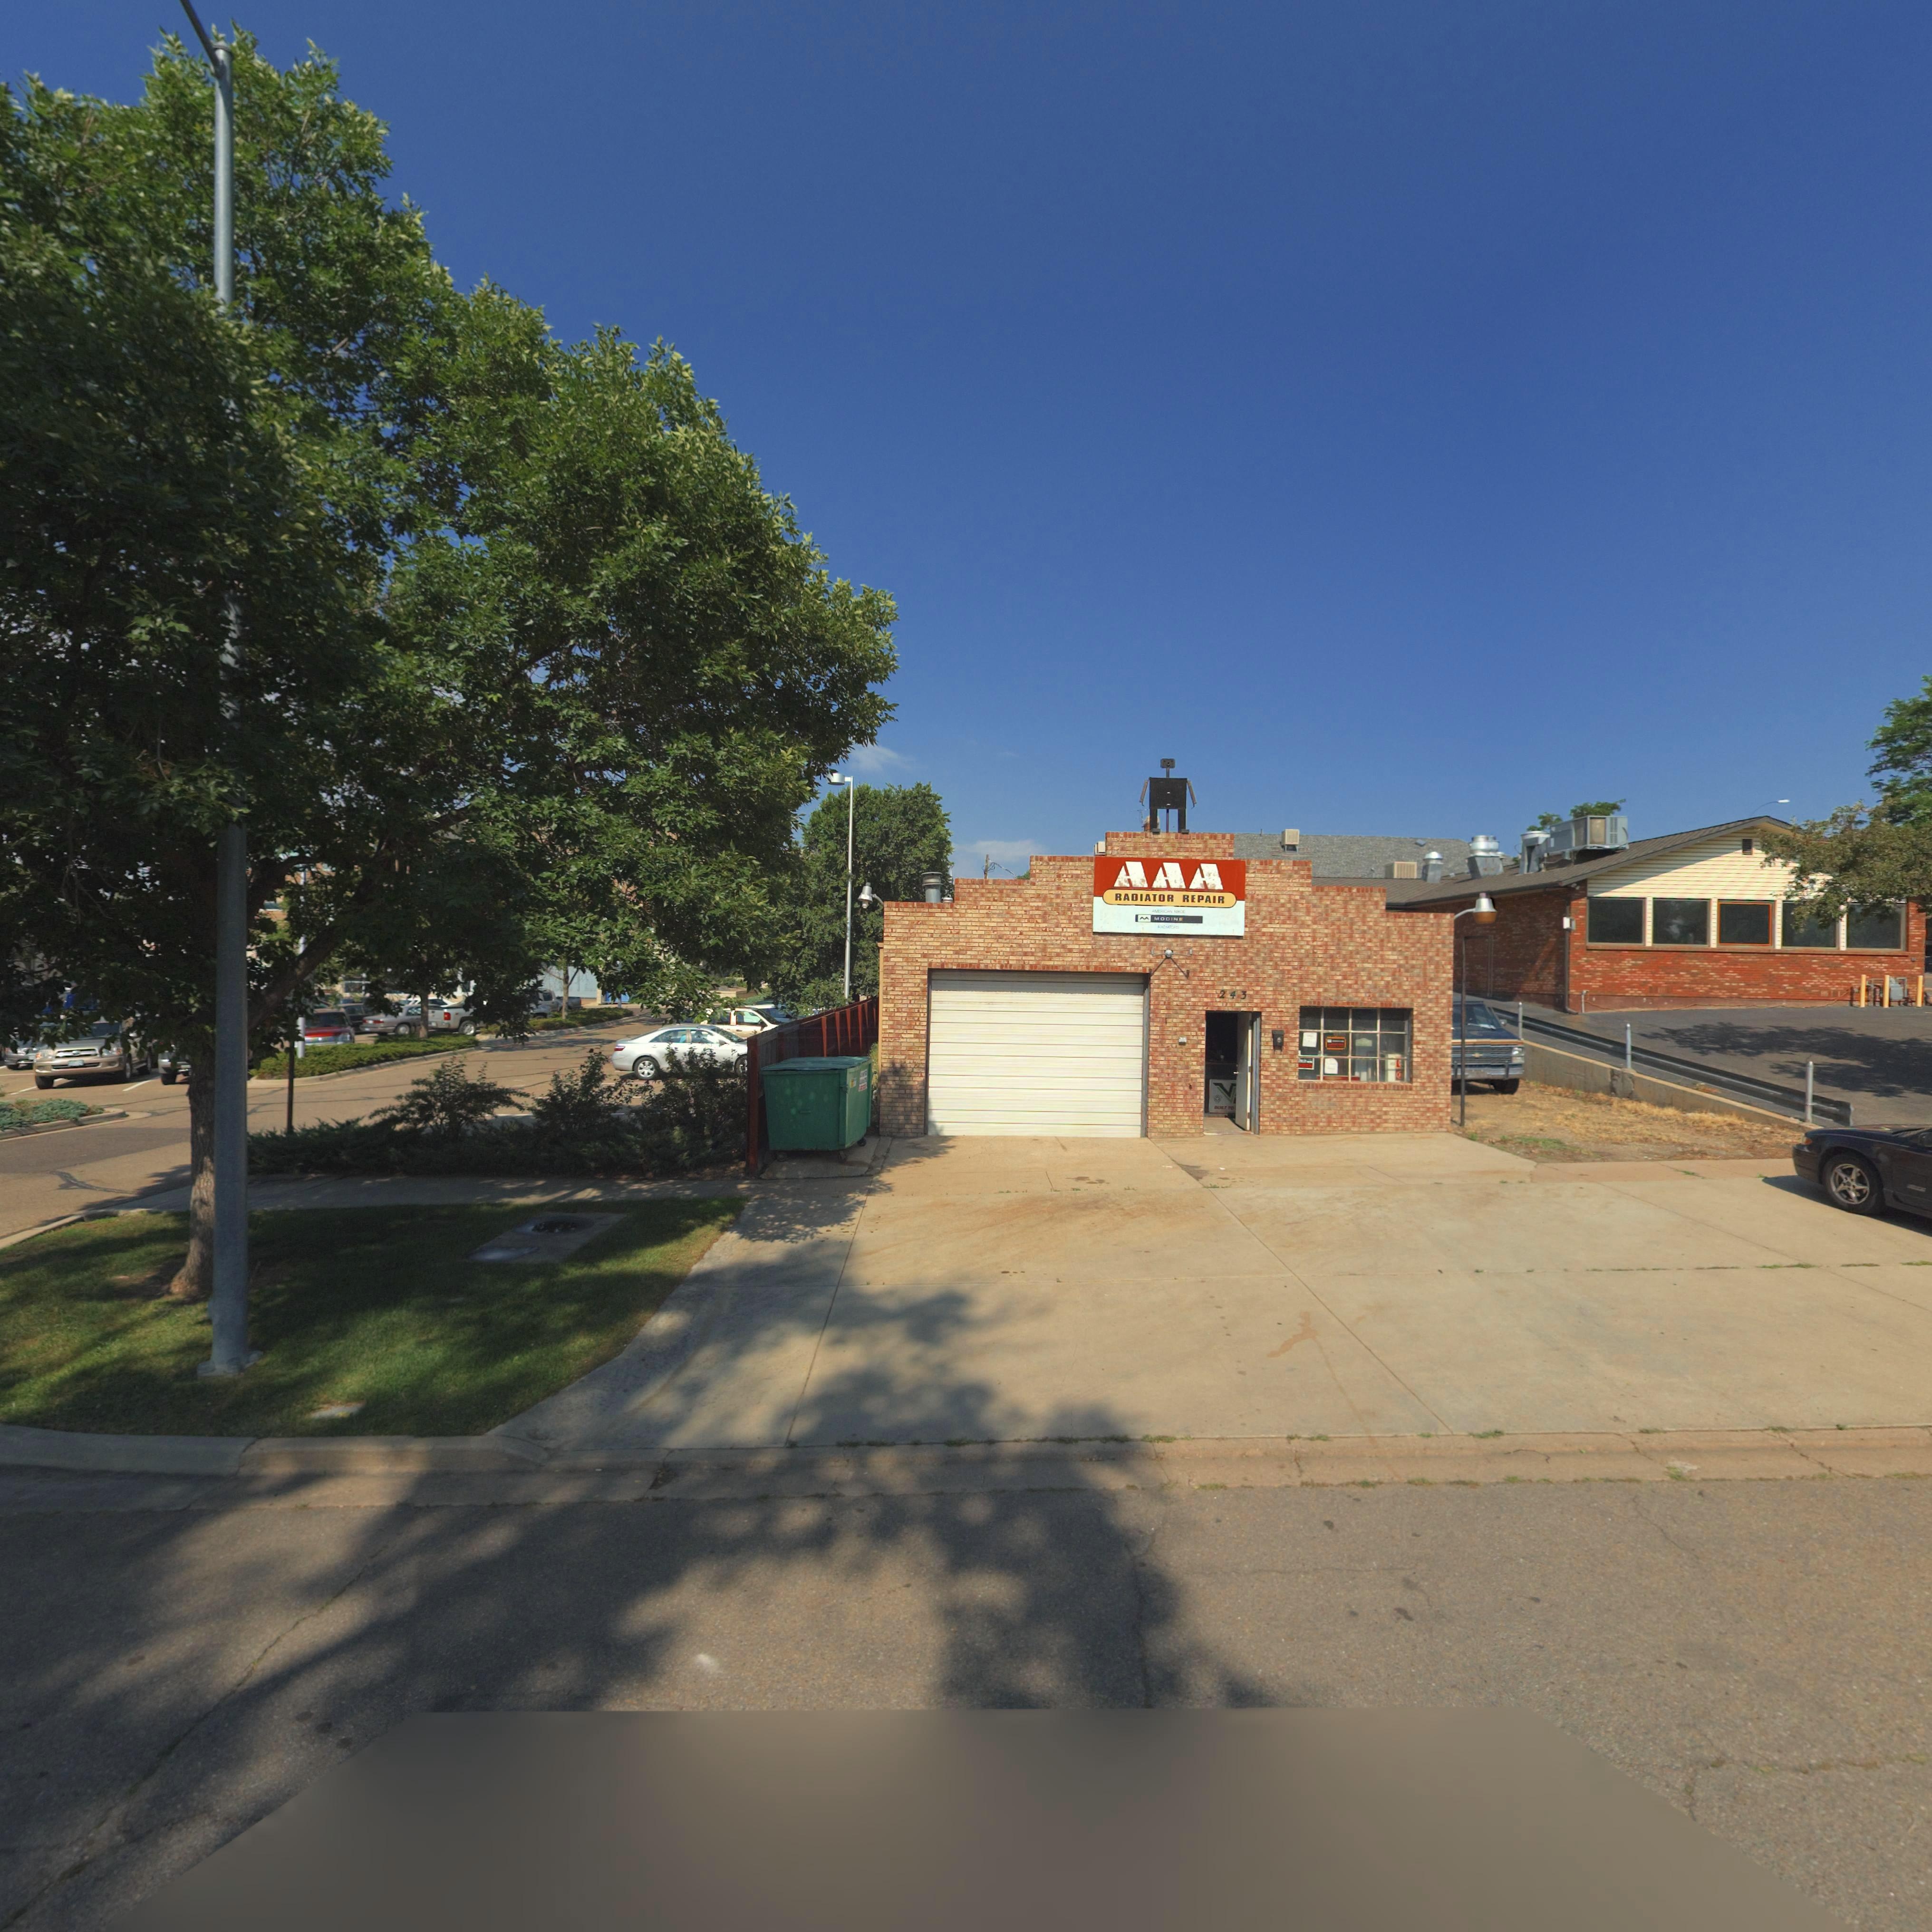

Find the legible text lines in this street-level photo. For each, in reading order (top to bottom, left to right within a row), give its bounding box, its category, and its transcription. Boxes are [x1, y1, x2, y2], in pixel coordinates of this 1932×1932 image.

[1112, 860, 1224, 890] BusinessName: AAA
[1115, 893, 1224, 904] BusinessName: RADIATOR REPAIR
[1218, 989, 1247, 1000] StreetNumber: 243